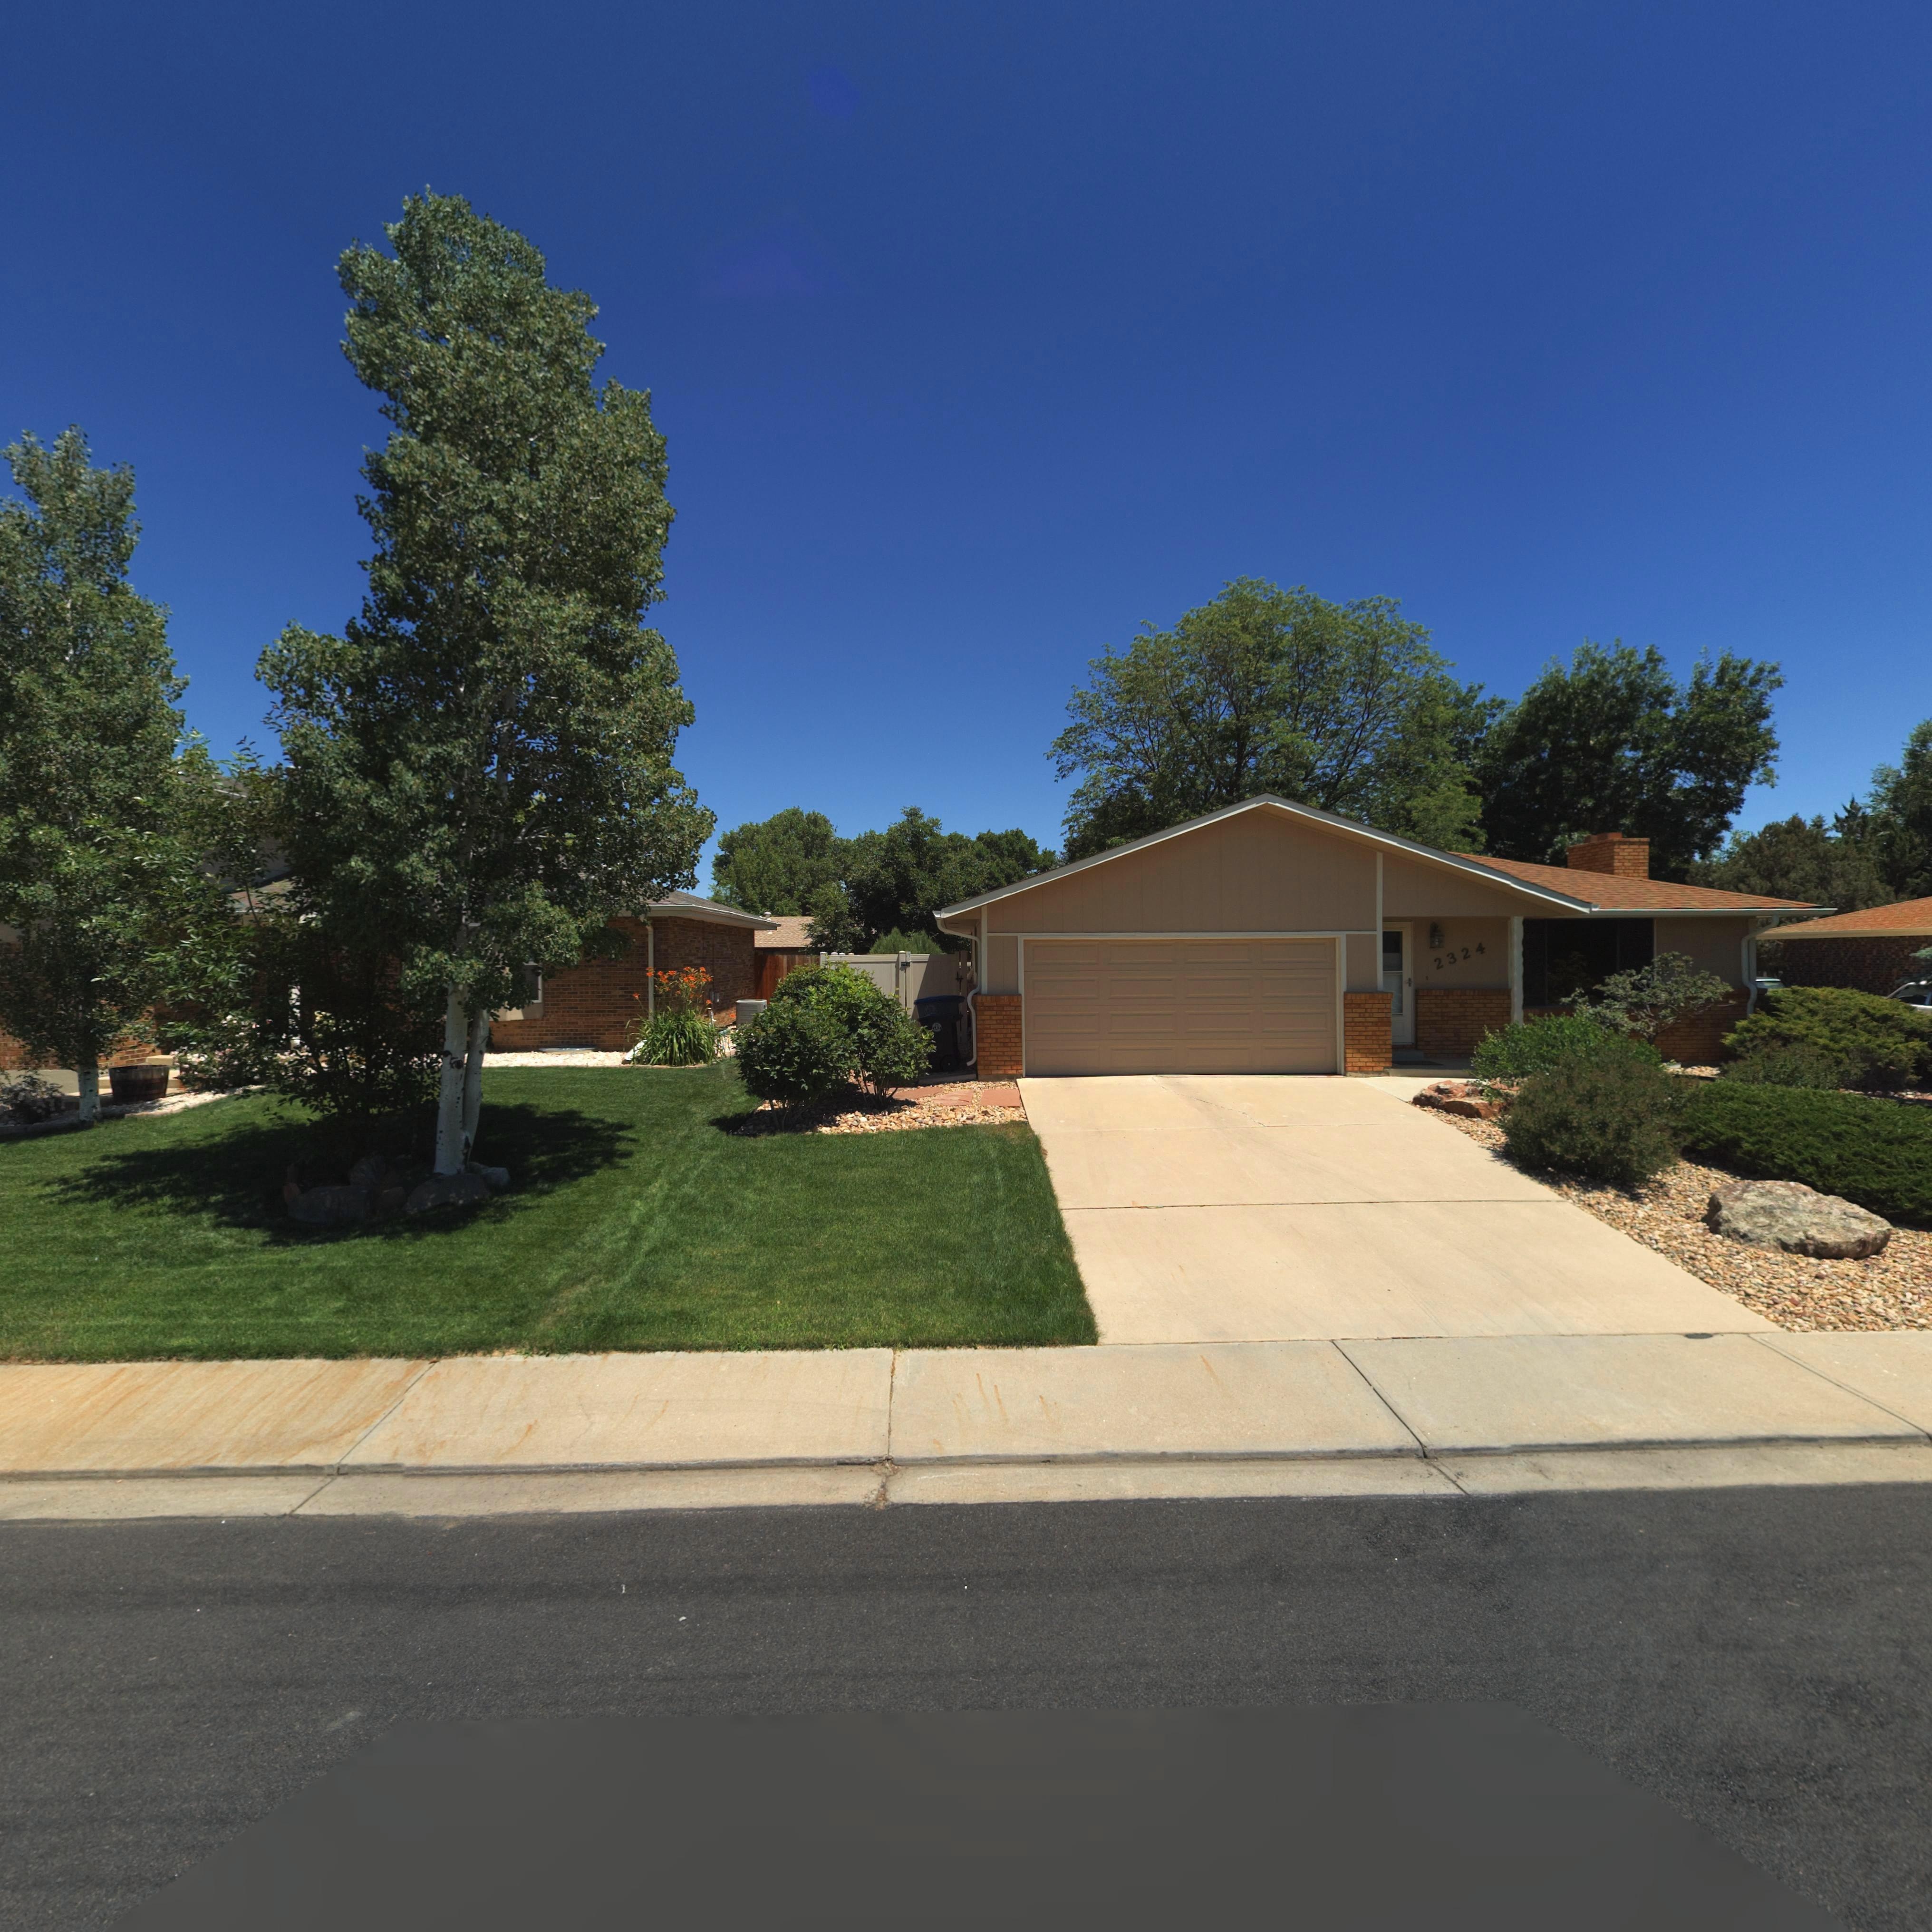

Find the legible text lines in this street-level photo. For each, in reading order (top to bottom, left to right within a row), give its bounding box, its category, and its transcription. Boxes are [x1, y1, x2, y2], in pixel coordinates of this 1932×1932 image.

[1433, 942, 1486, 970] StreetNumber: 2324